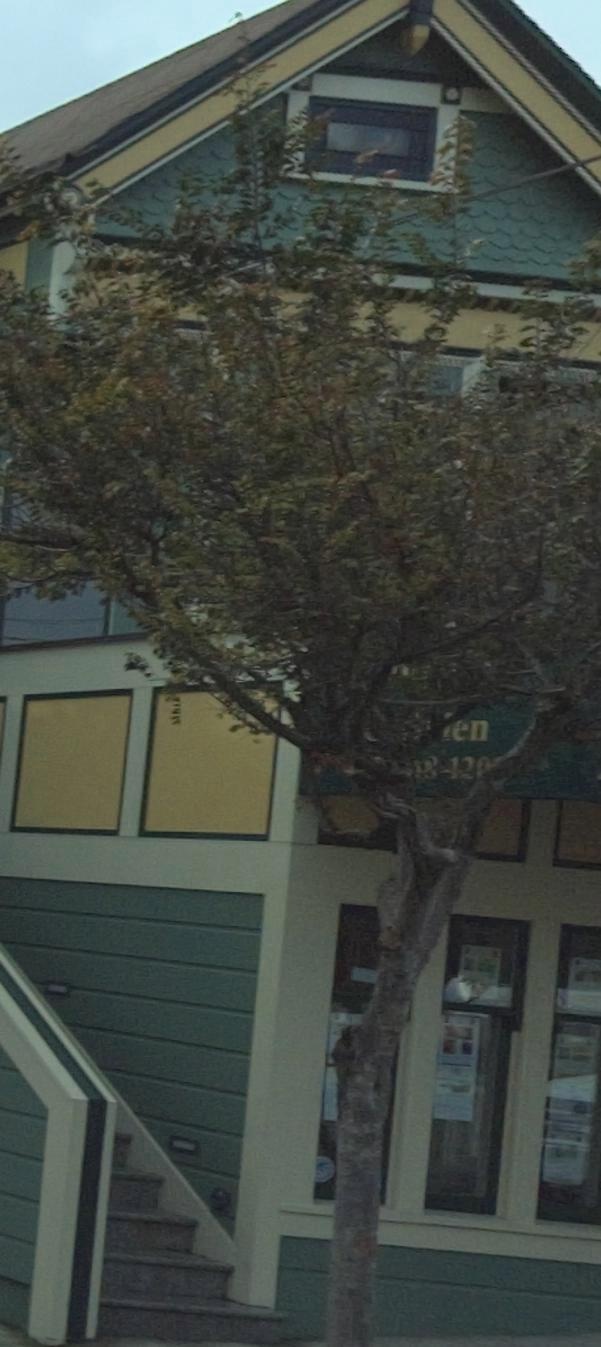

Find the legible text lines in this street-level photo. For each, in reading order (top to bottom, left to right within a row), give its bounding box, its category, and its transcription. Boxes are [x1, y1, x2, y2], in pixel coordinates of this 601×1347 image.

[449, 716, 491, 745] None: en
[449, 753, 477, 783] None: 12